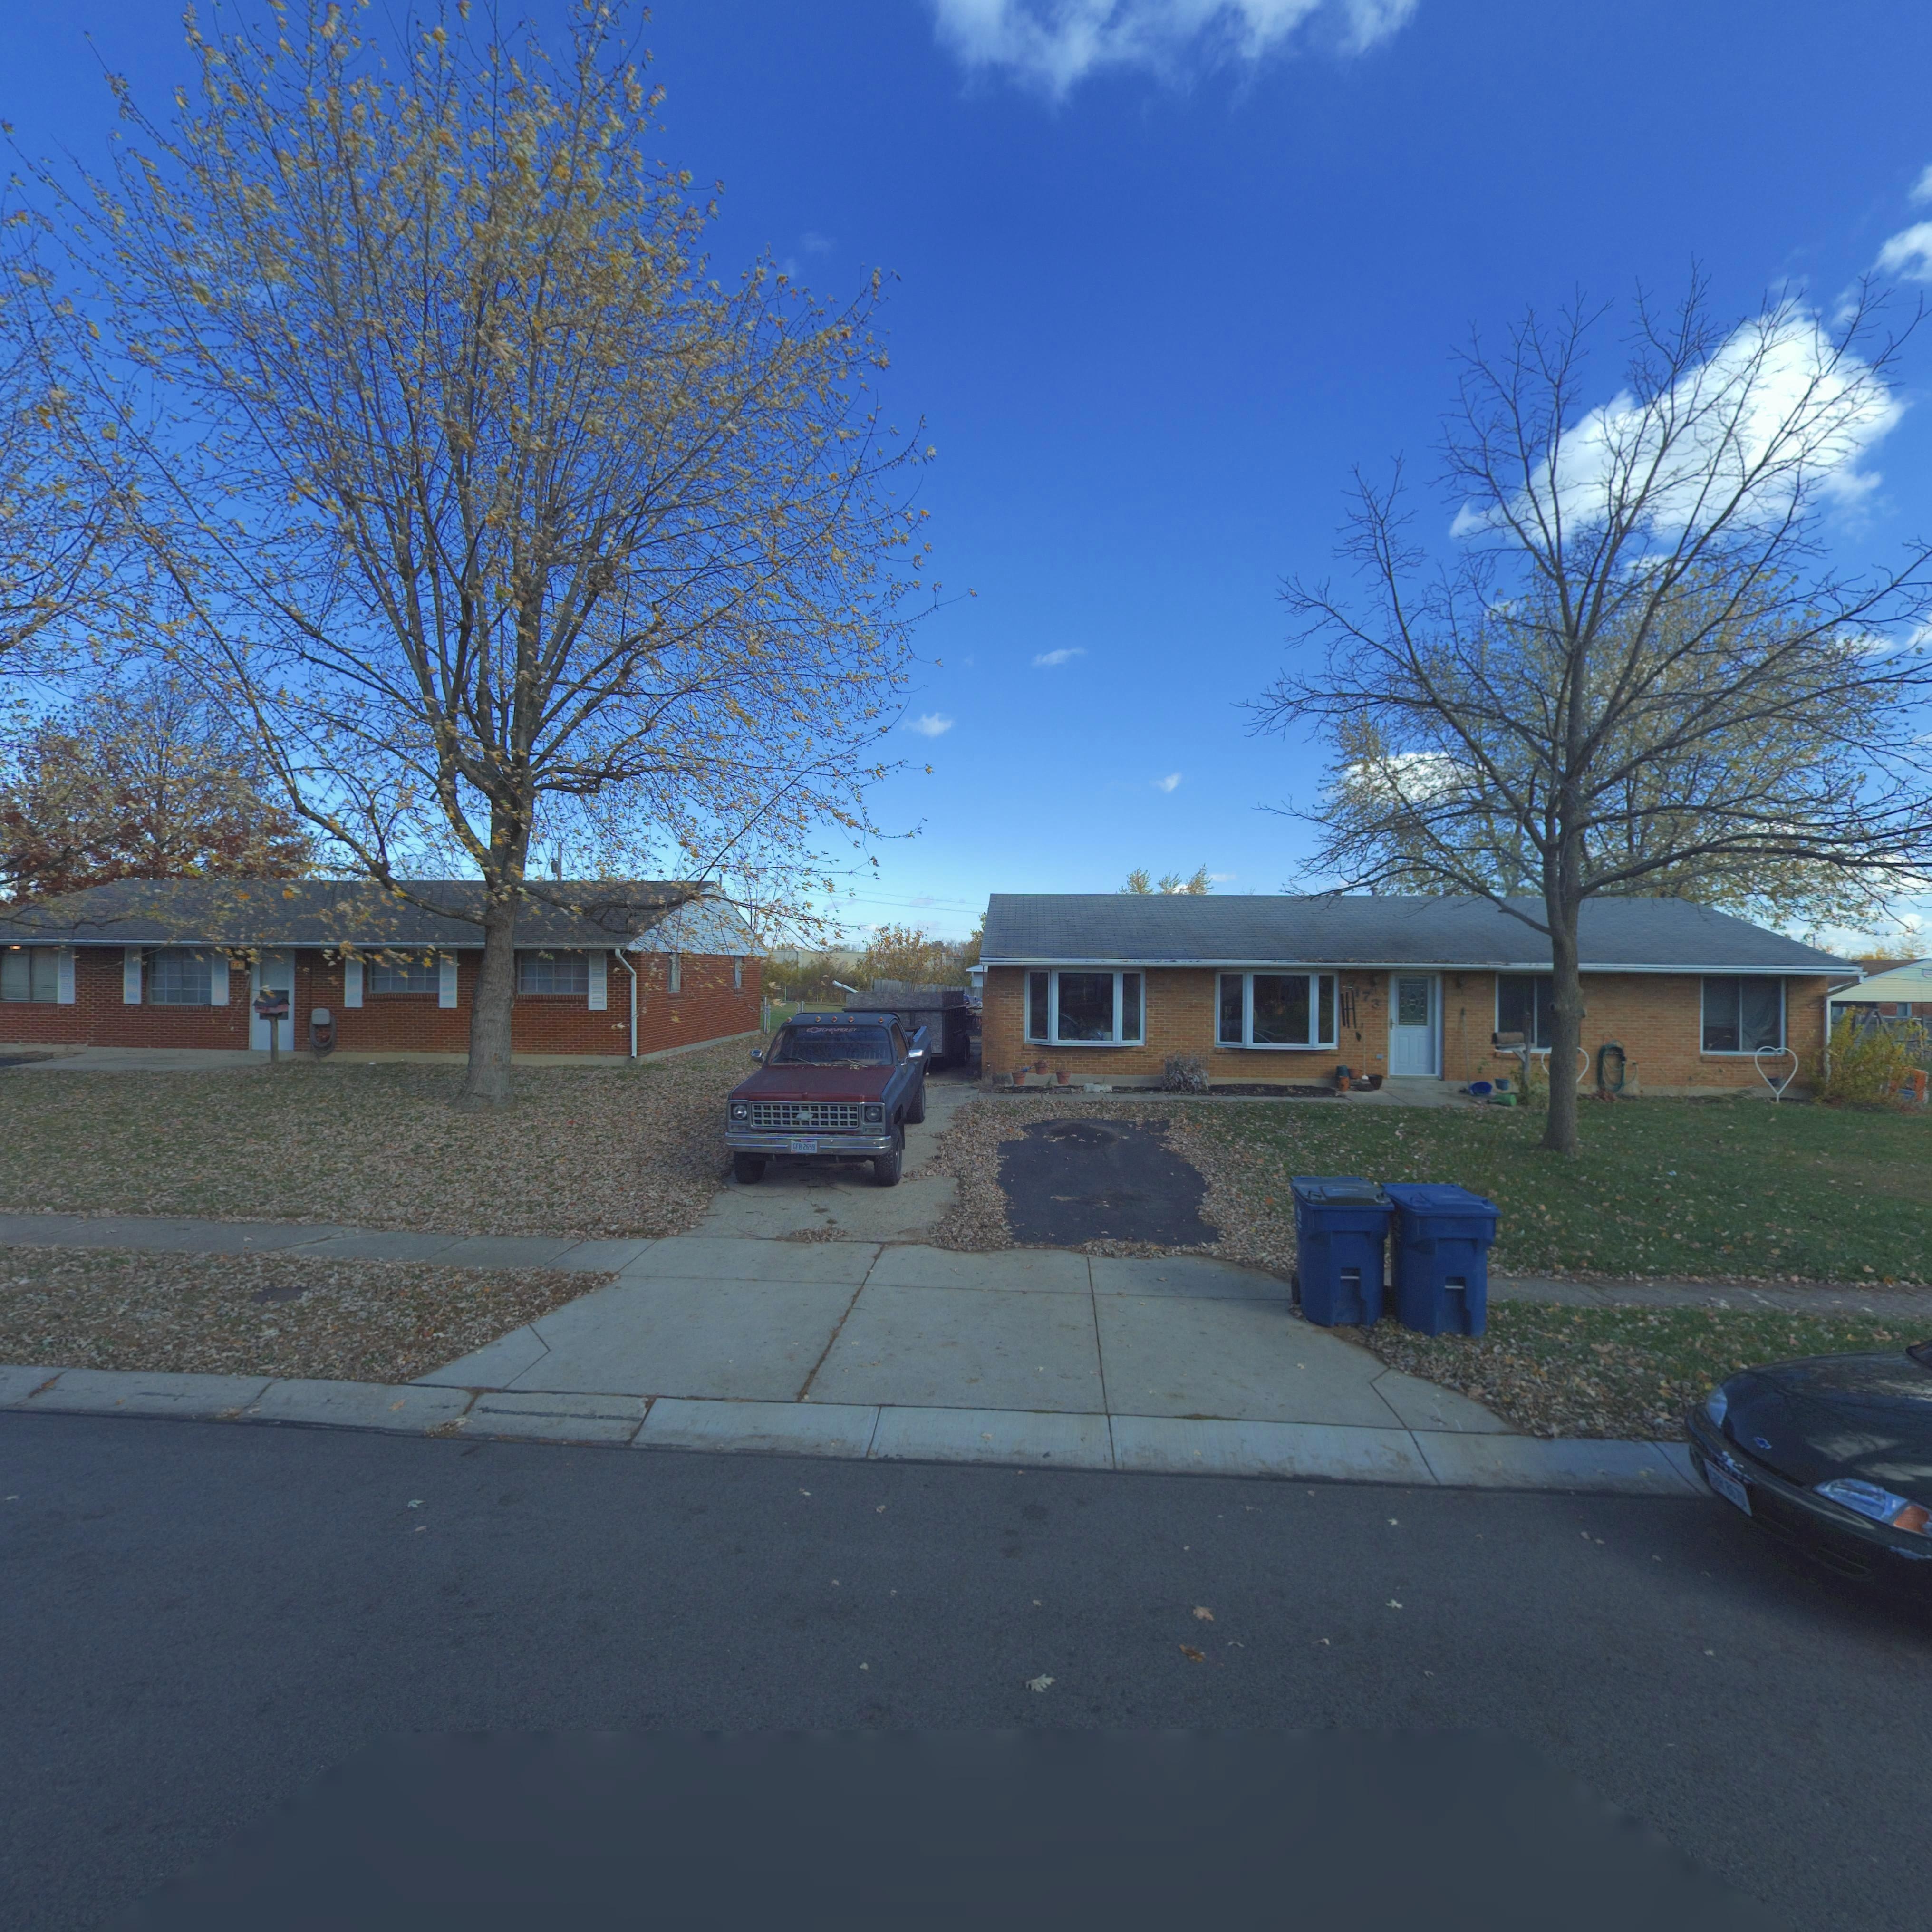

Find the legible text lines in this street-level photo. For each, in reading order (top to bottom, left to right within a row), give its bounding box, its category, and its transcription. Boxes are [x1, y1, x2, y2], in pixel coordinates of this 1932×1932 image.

[1346, 979, 1382, 1011] StreetNumber: *173